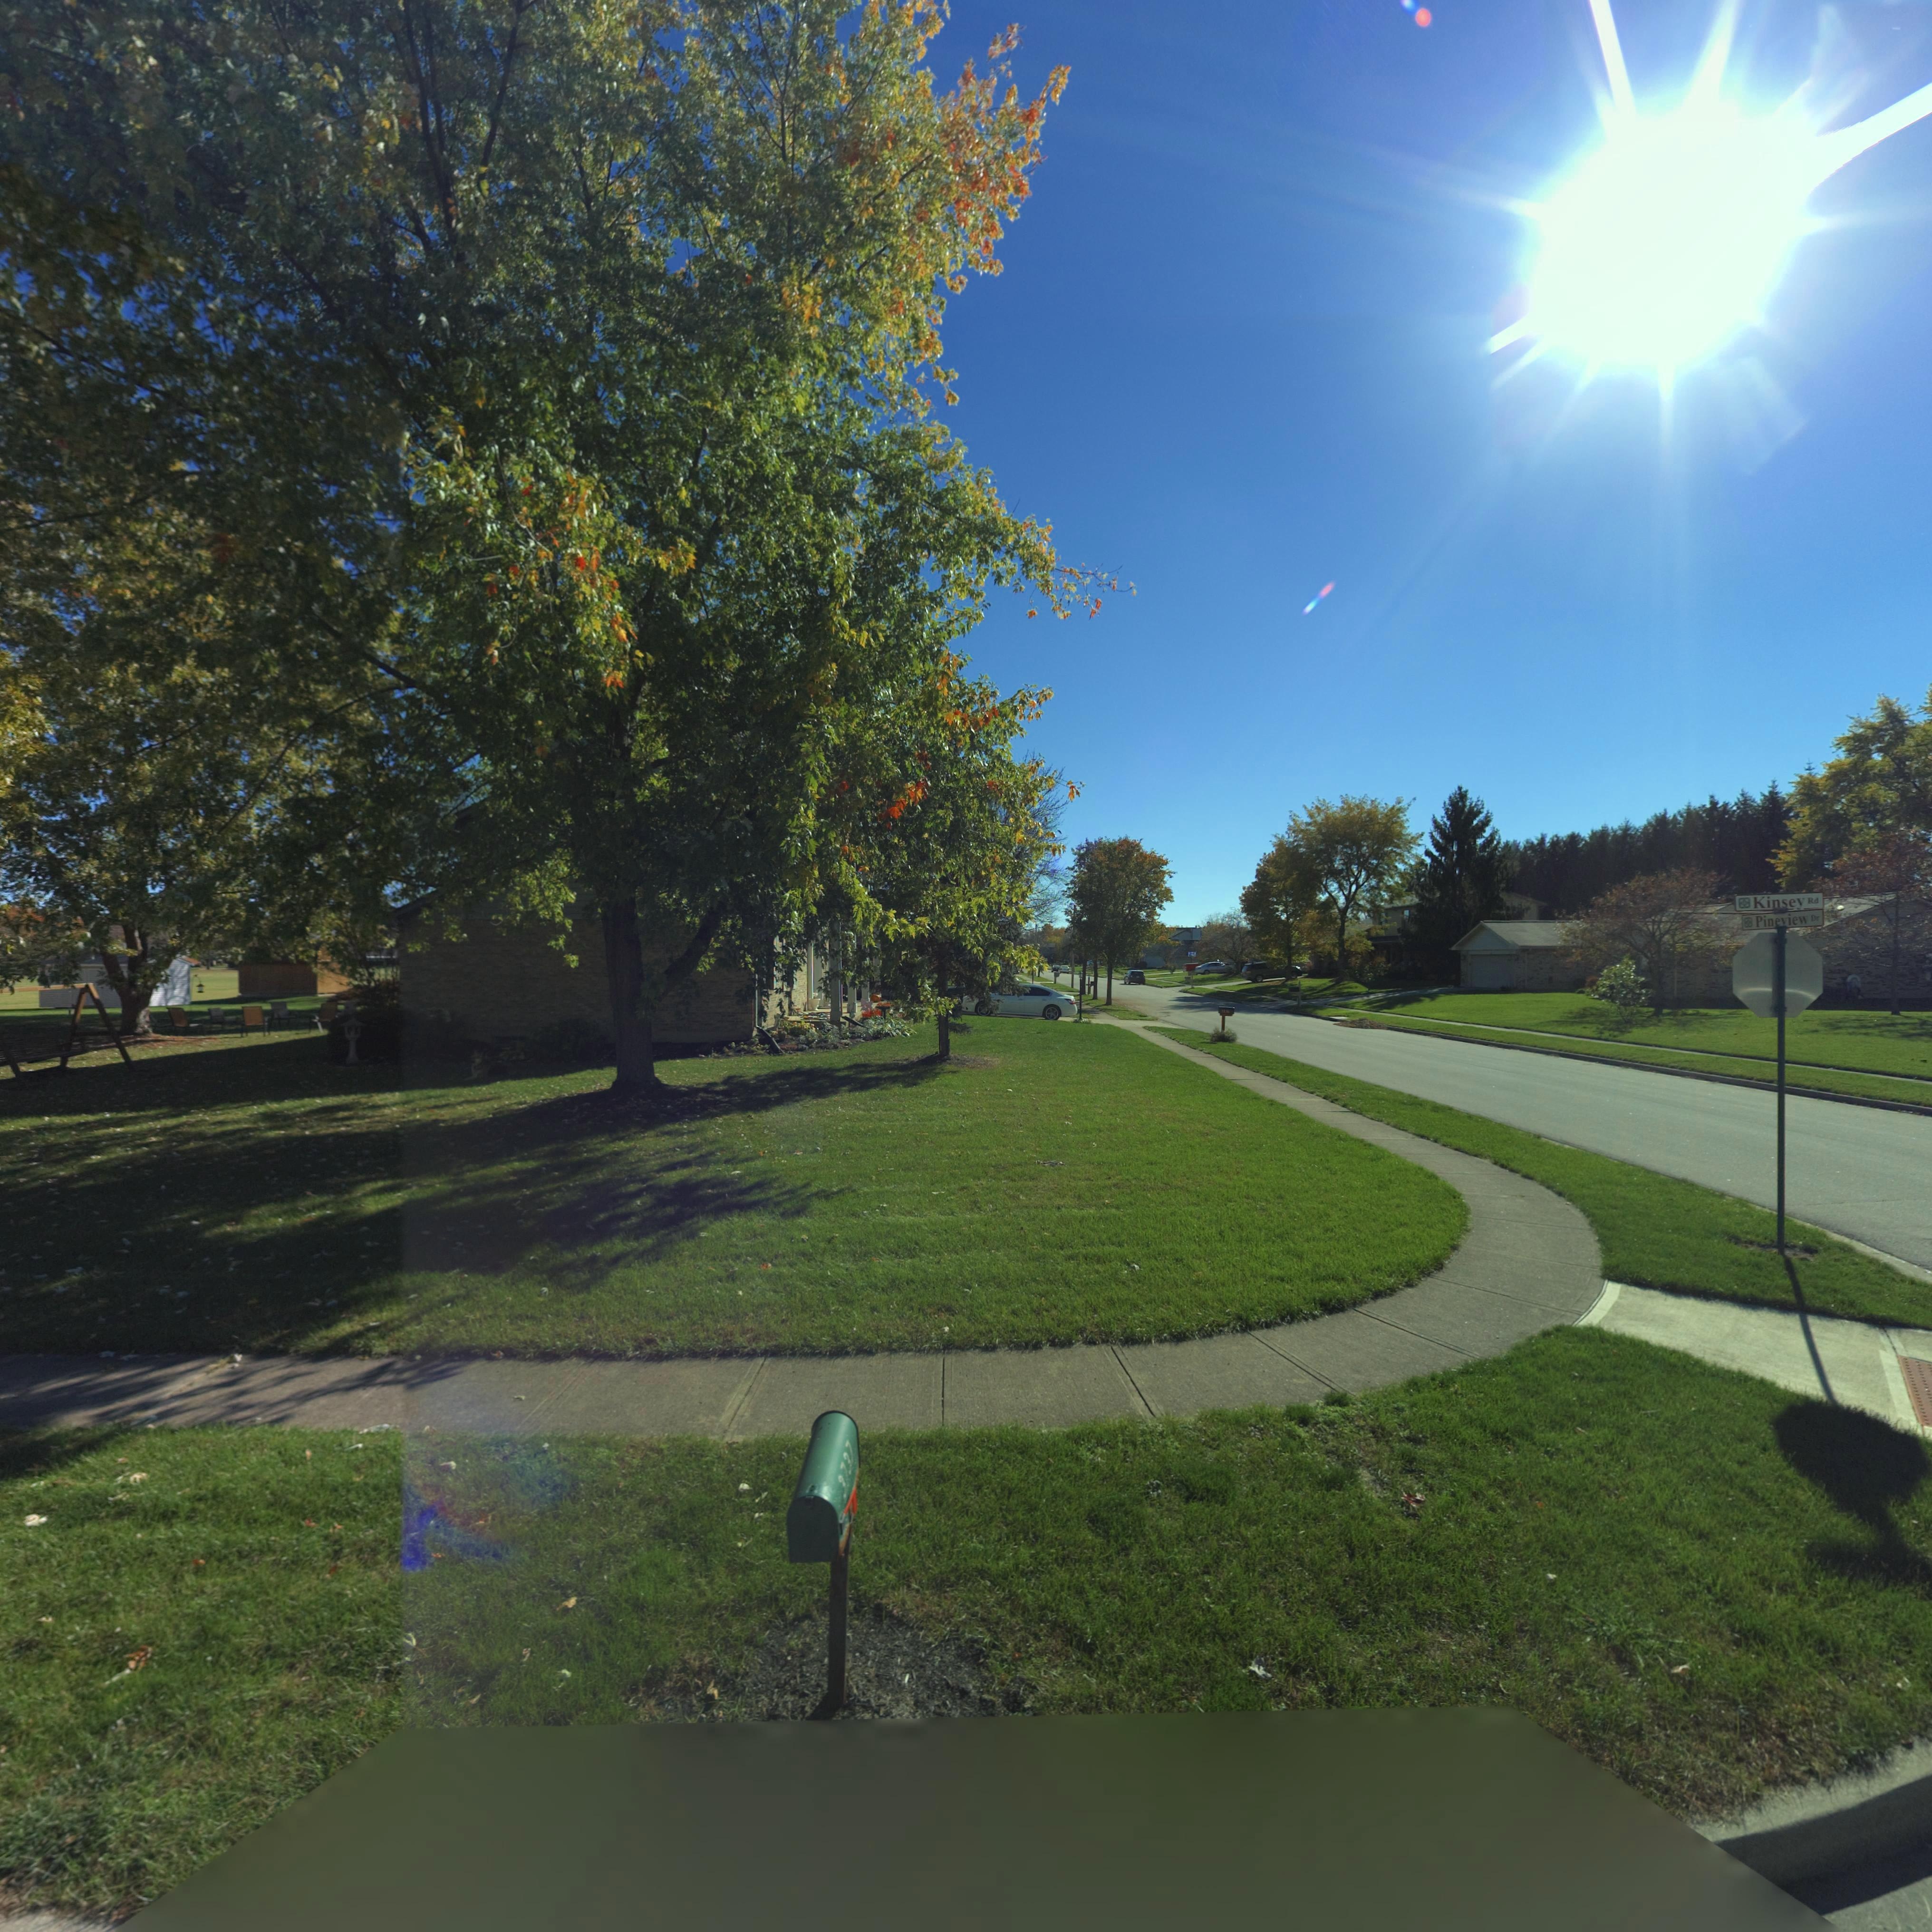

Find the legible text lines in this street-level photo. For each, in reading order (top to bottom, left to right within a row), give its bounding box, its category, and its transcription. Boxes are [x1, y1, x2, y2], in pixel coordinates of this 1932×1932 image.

[1752, 895, 1819, 910] StreetName: Kinsey Rd
[1754, 912, 1821, 928] StreetName: Pineview Dr
[1220, 1009, 1230, 1013] StreetNumber: 72**
[836, 1435, 855, 1503] StreetNumber: 3737